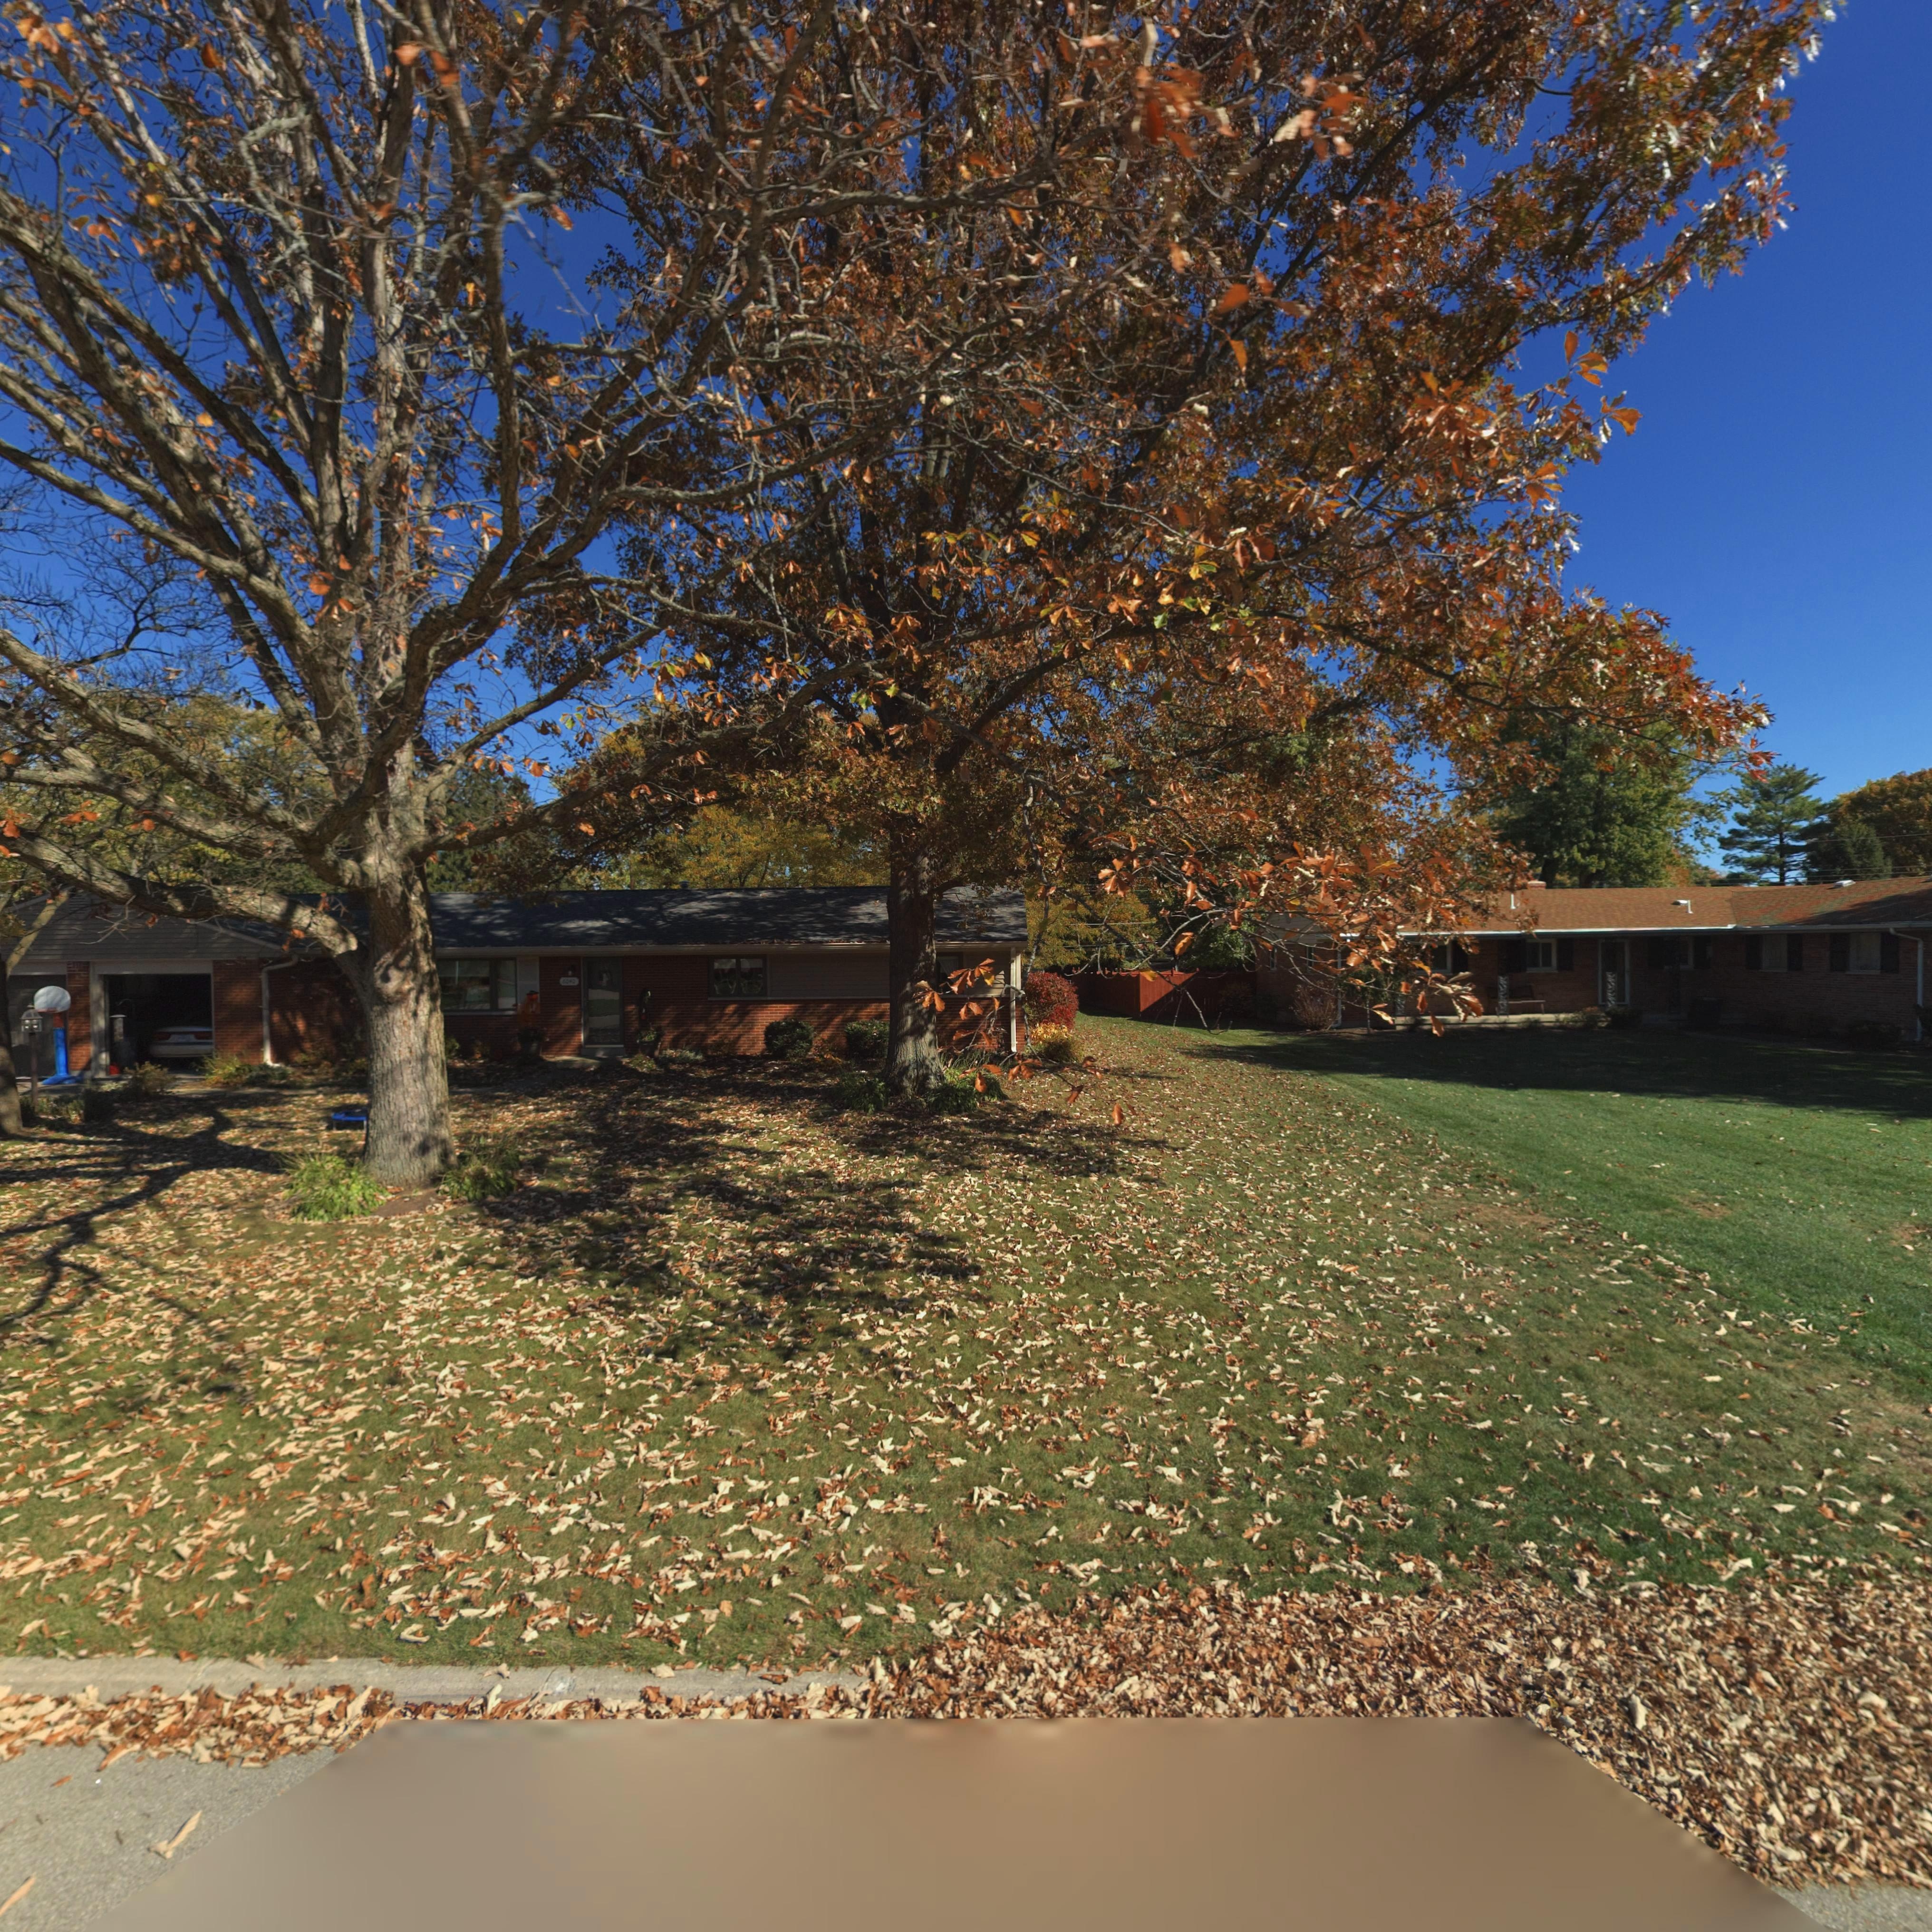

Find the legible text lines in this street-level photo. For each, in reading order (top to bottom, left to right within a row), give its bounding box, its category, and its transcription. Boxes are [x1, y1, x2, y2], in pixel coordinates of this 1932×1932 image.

[561, 978, 576, 984] StreetNumber: 6040